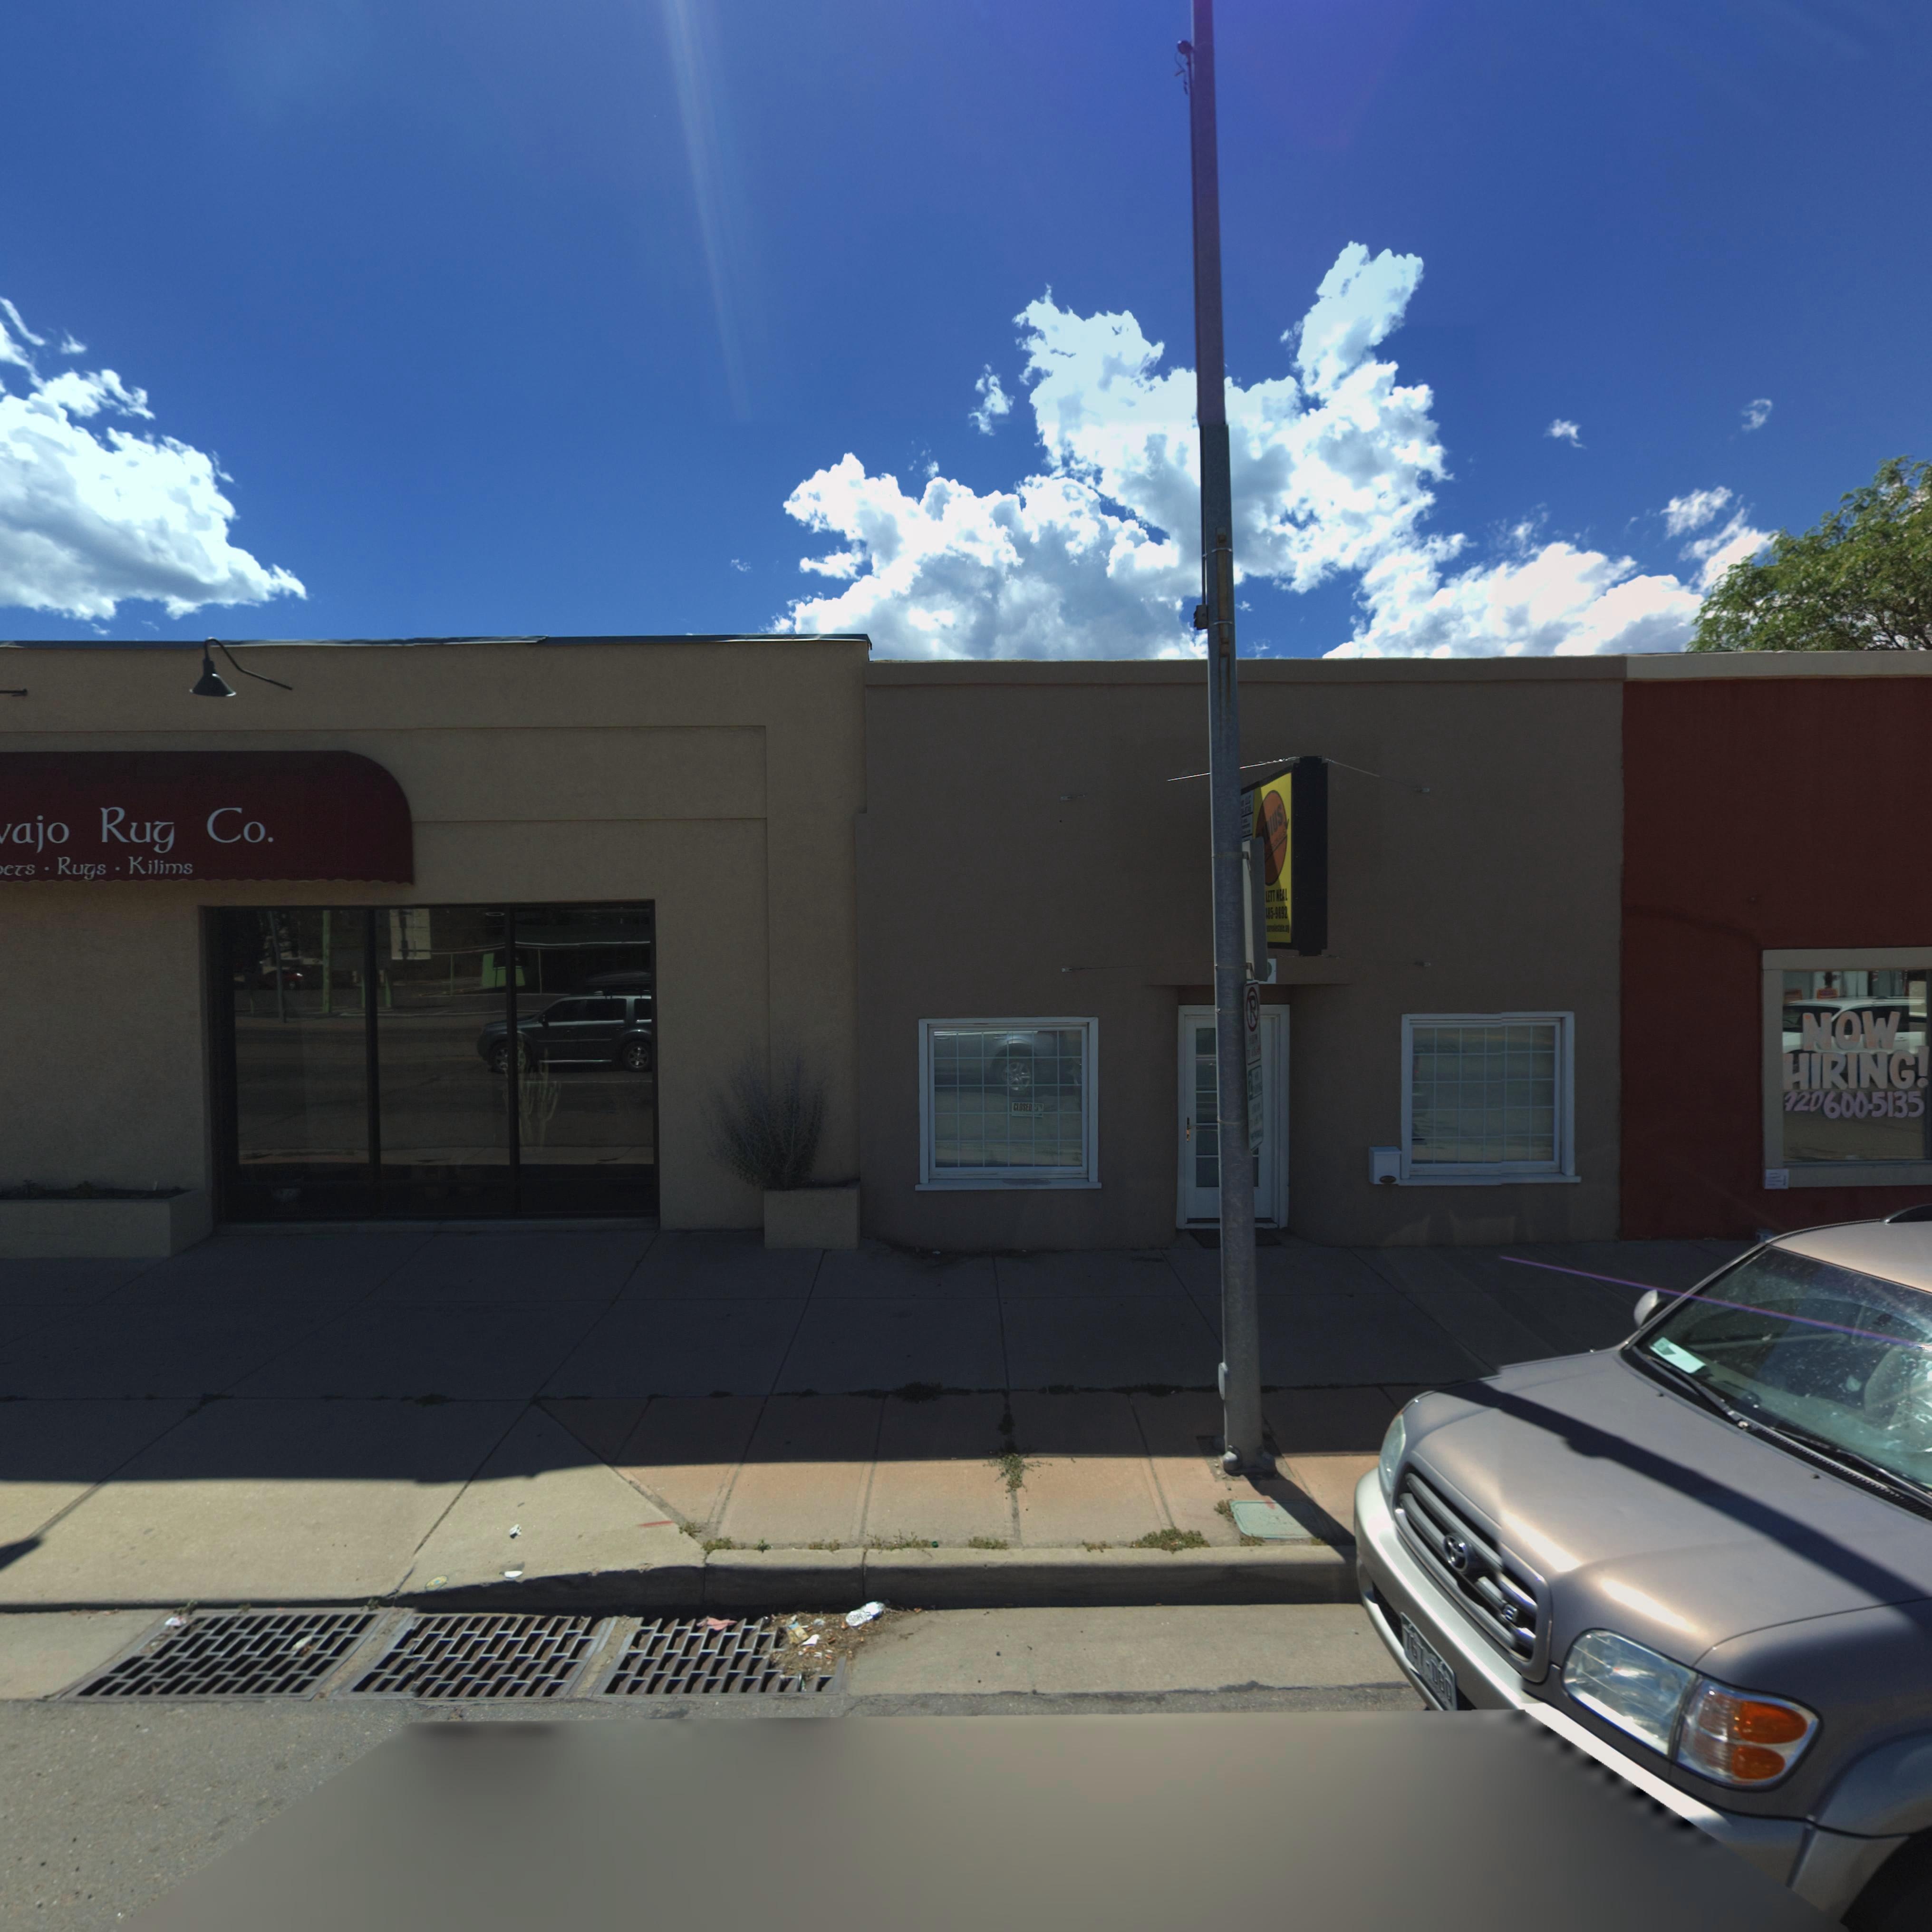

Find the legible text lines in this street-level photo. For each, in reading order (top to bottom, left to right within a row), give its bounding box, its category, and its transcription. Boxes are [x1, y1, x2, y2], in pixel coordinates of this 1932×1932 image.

[11, 806, 266, 854] BusinessName: ajo Rug Co
[1256, 803, 1284, 845] BusinessName: **DIUS